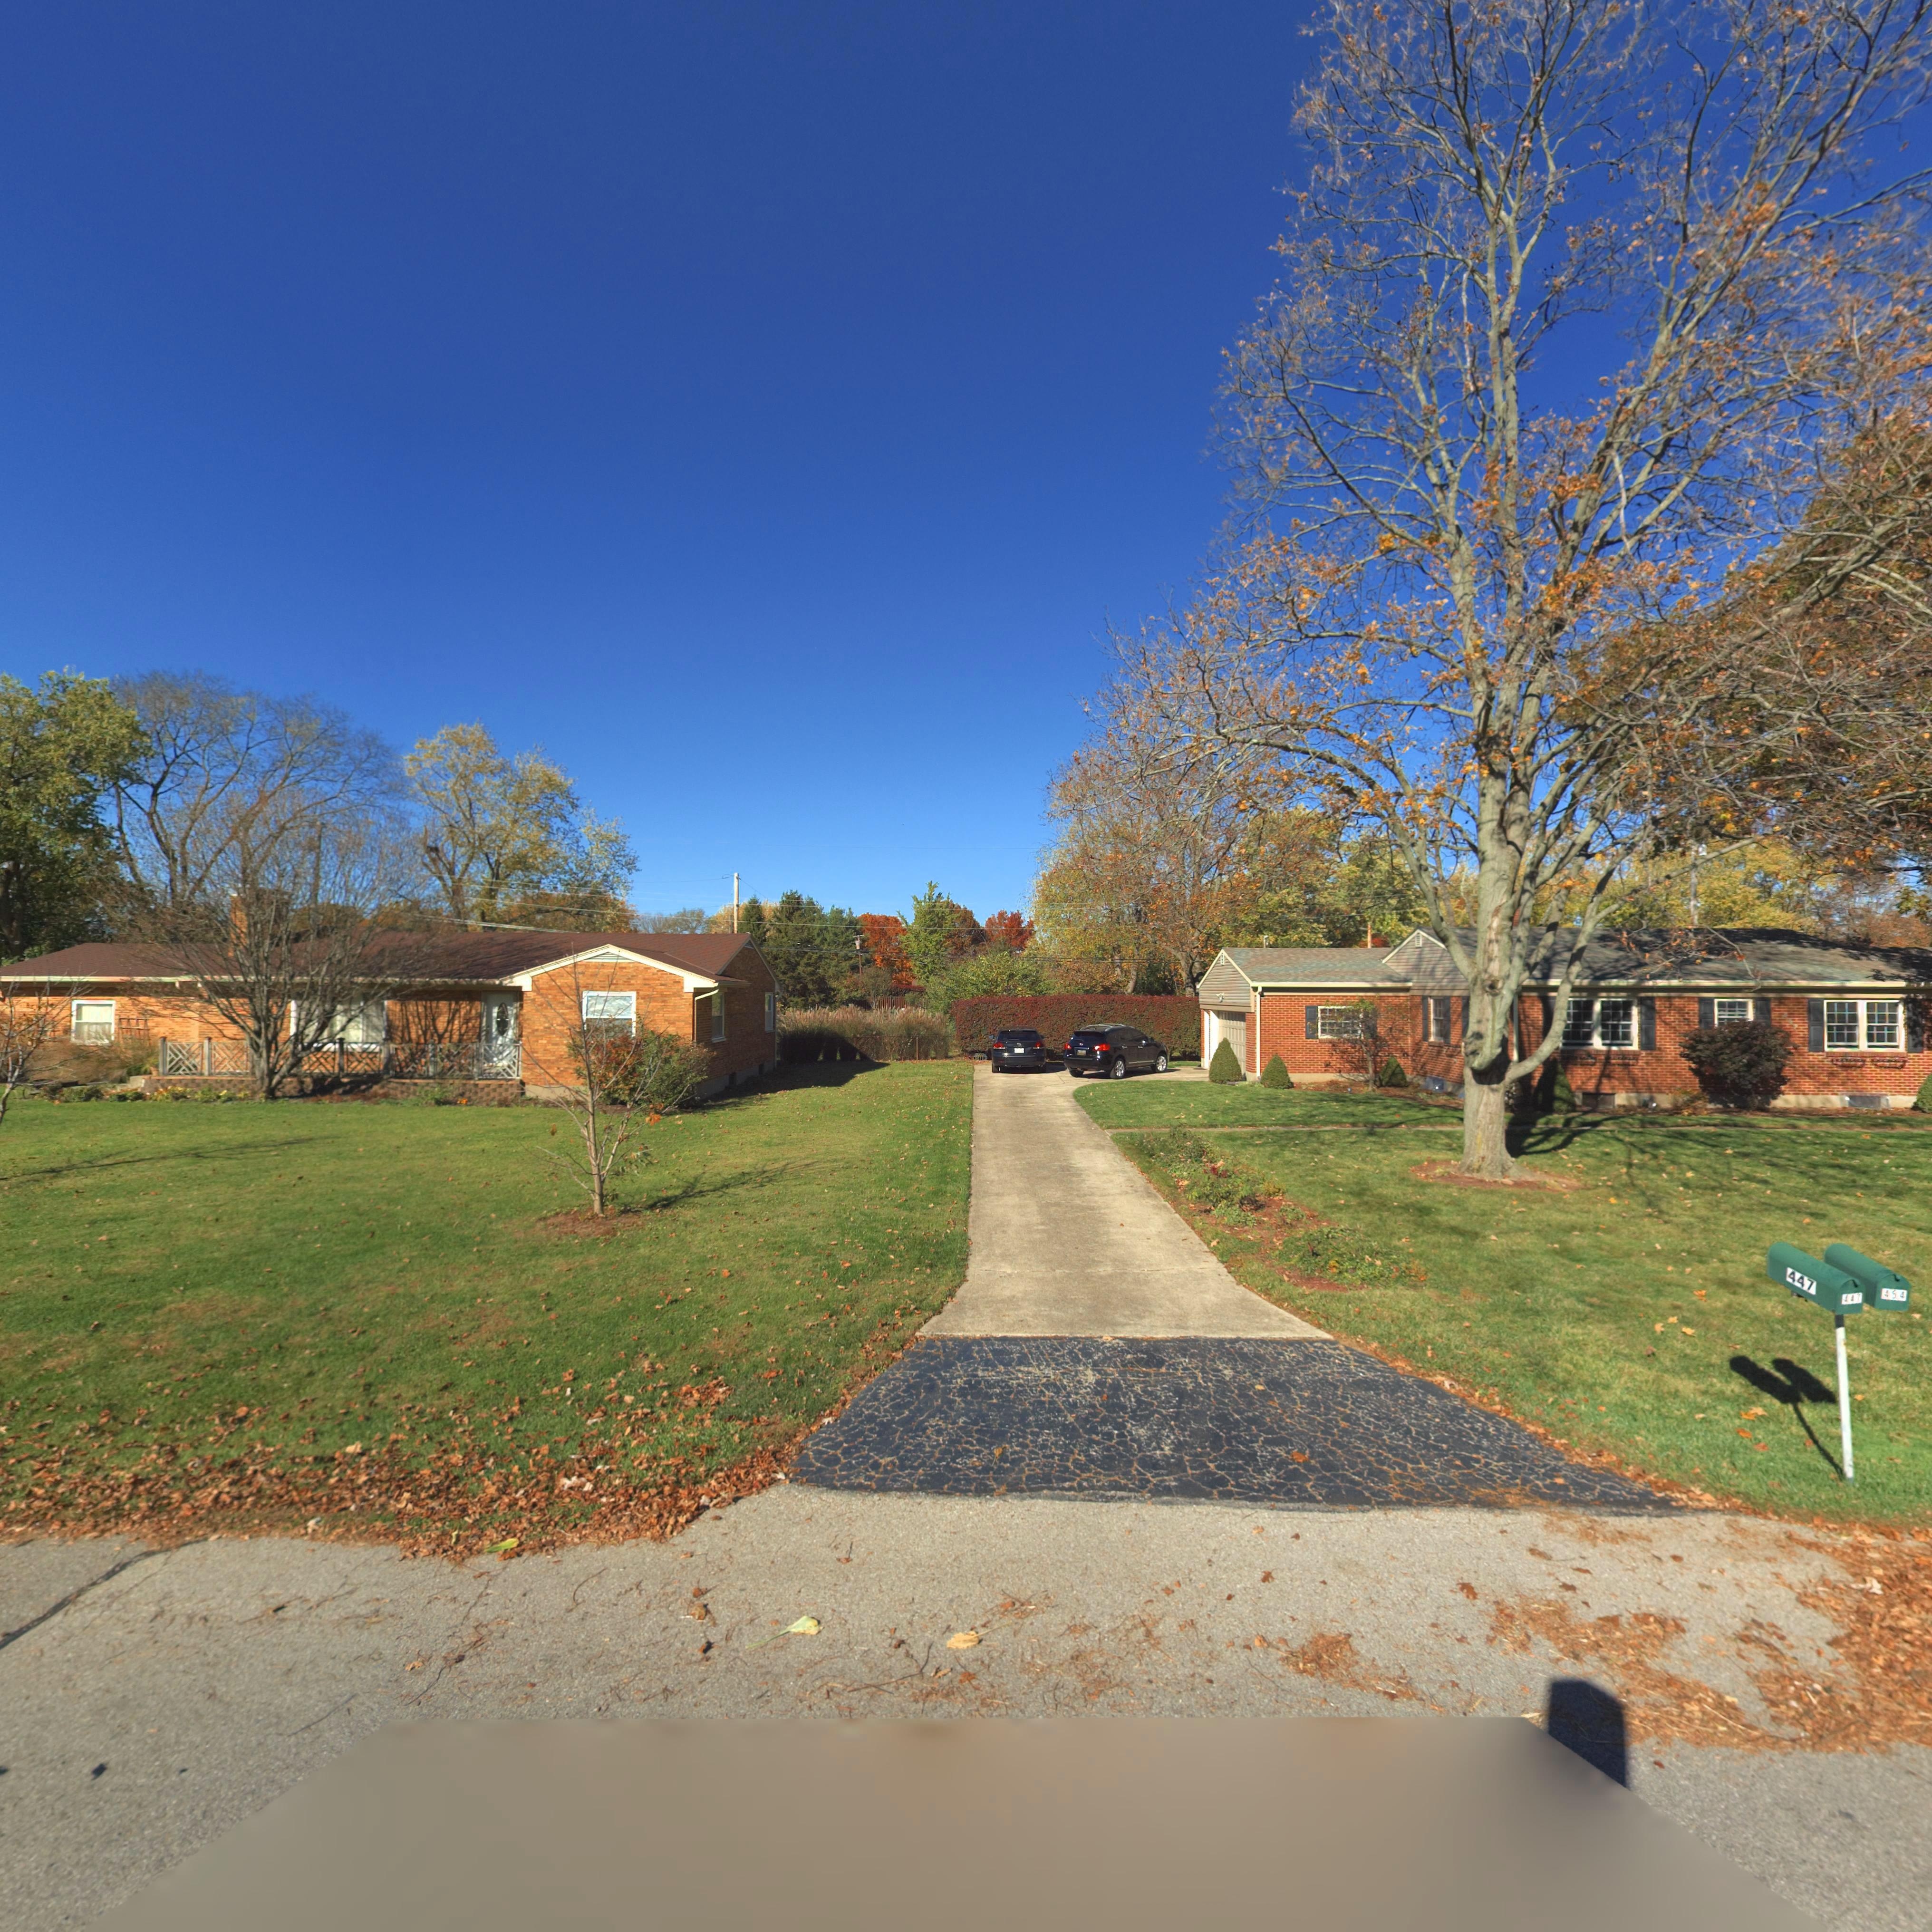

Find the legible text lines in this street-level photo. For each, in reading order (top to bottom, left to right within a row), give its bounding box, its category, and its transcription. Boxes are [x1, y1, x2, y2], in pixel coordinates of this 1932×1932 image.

[1787, 1269, 1816, 1293] StreetNumber: 447
[1844, 1293, 1862, 1304] StreetNumber: 447
[1883, 1289, 1906, 1301] StreetNumber: 454